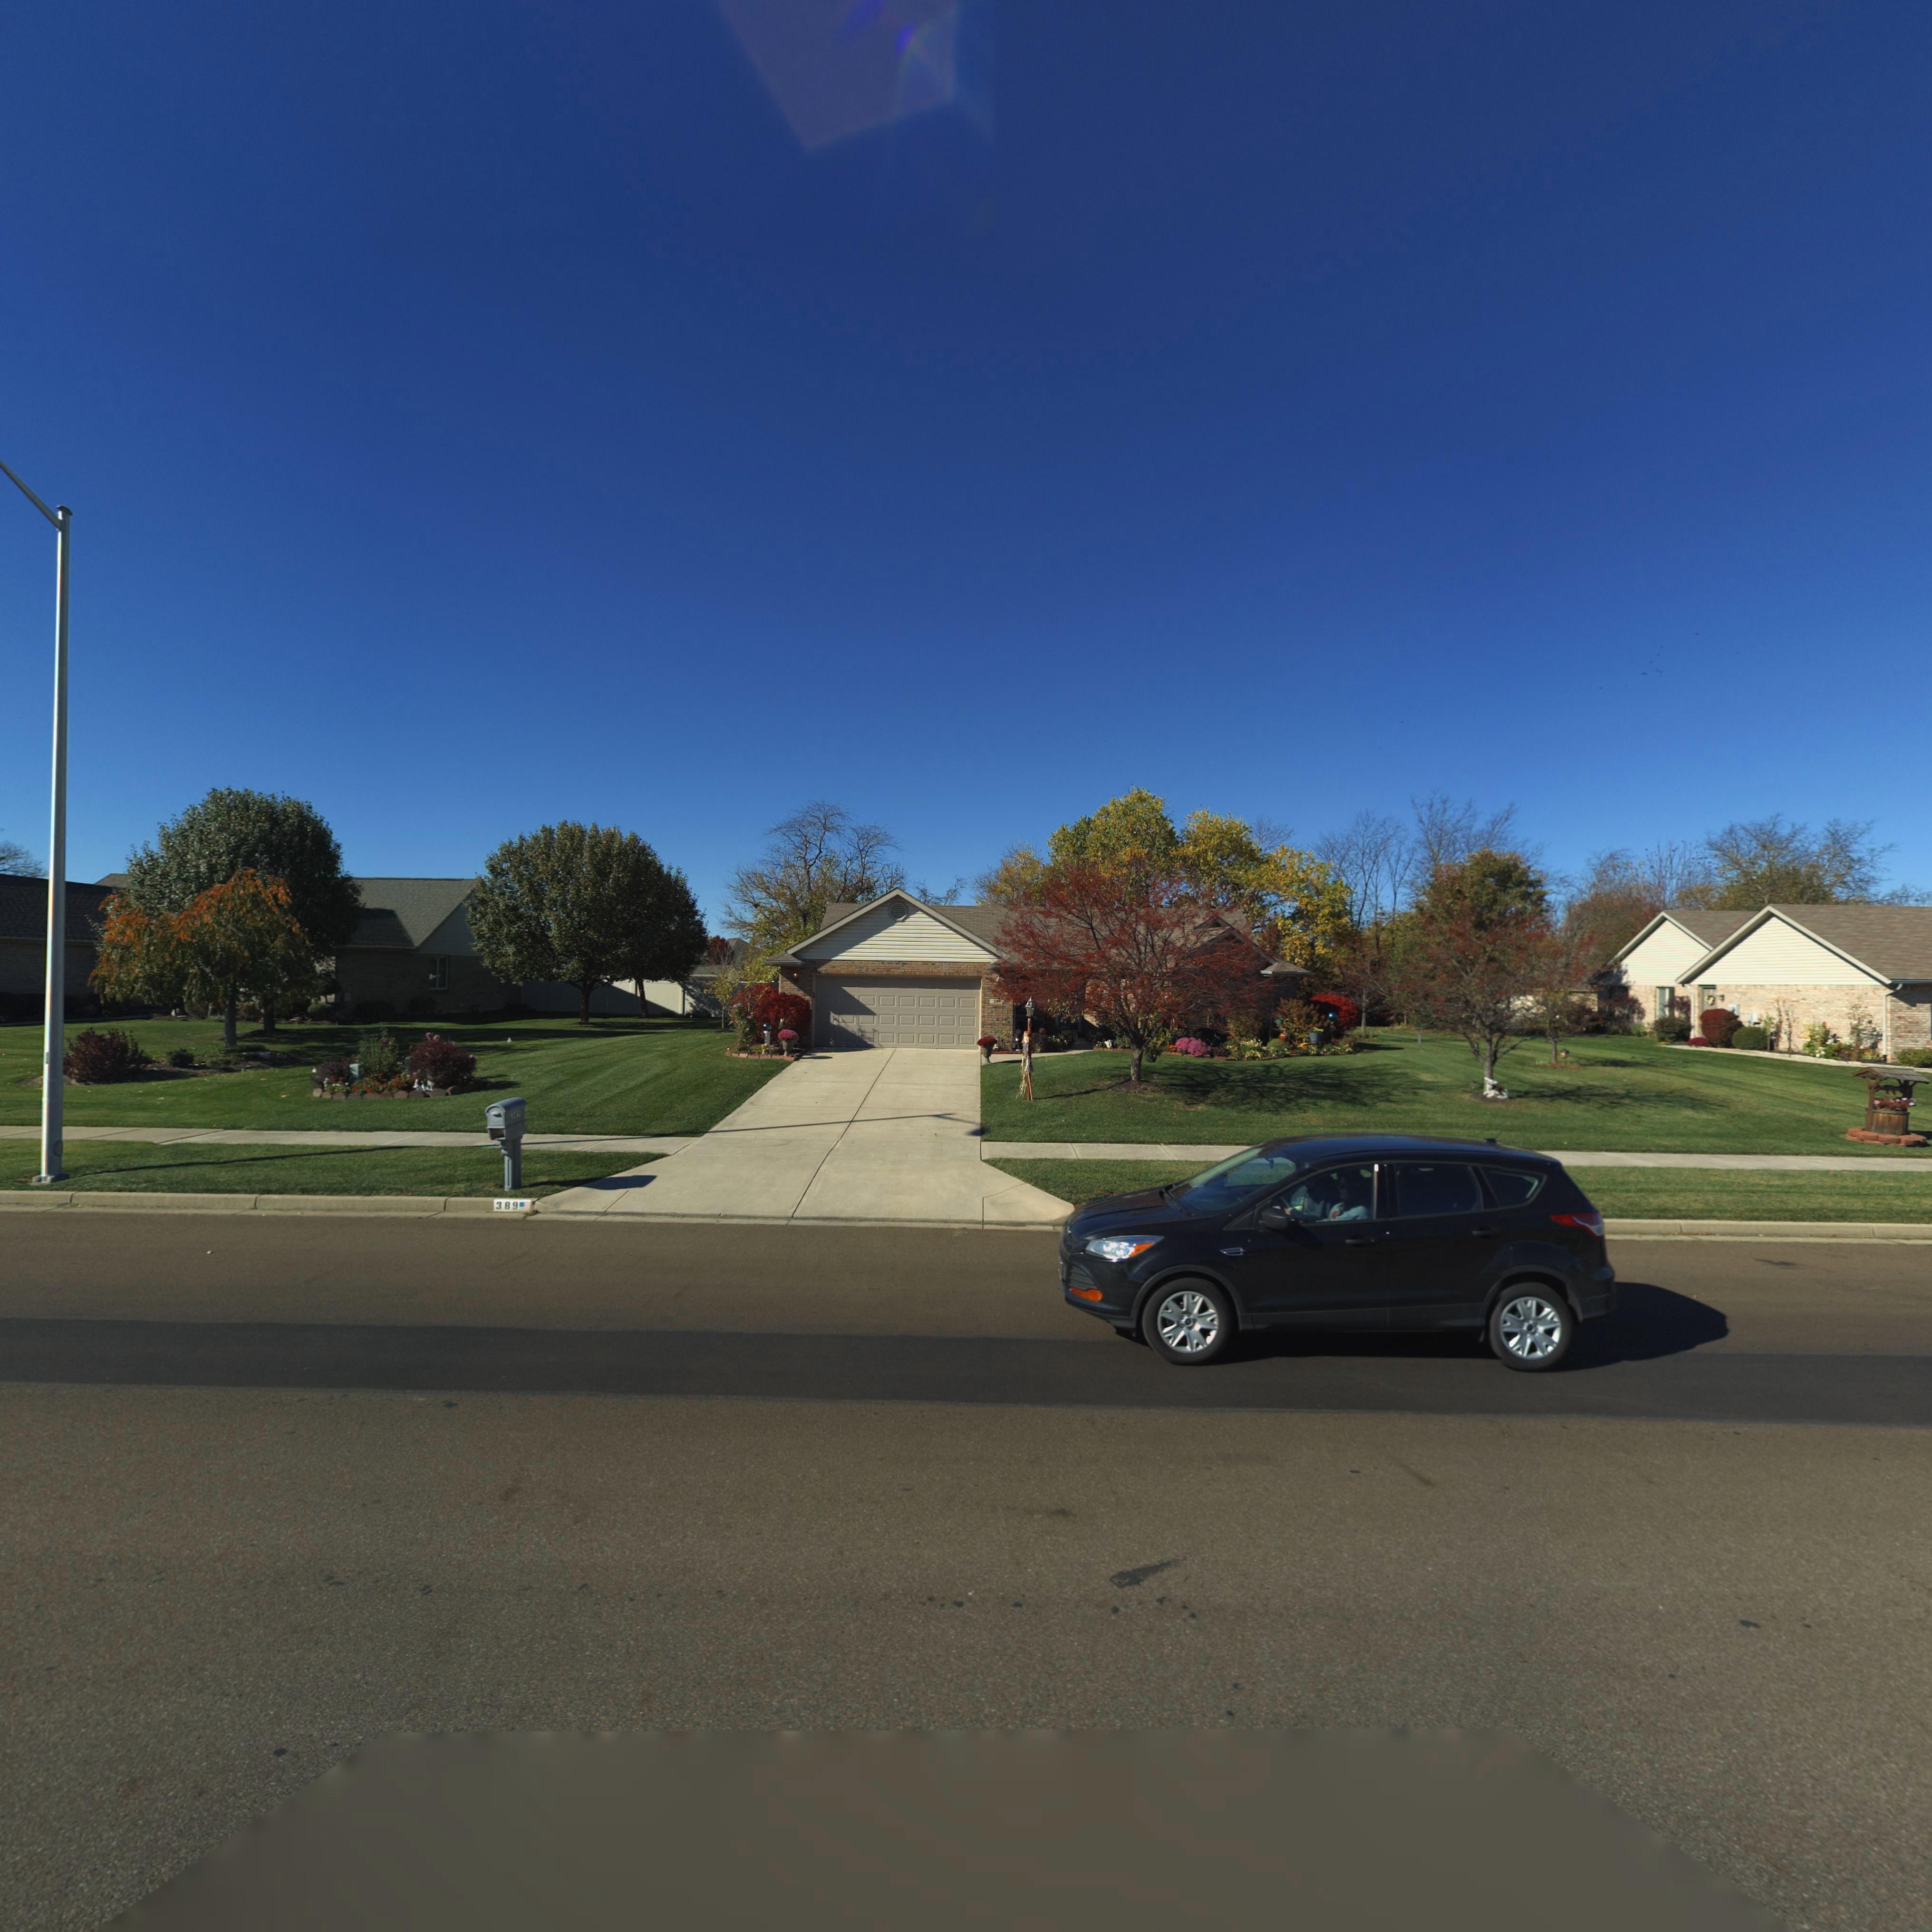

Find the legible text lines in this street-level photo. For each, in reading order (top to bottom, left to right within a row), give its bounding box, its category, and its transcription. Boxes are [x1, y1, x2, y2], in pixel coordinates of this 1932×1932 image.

[993, 999, 996, 1003] StreetNumber: 3
[511, 1110, 521, 1119] StreetNumber: 389
[495, 1201, 519, 1210] StreetNumber: 389